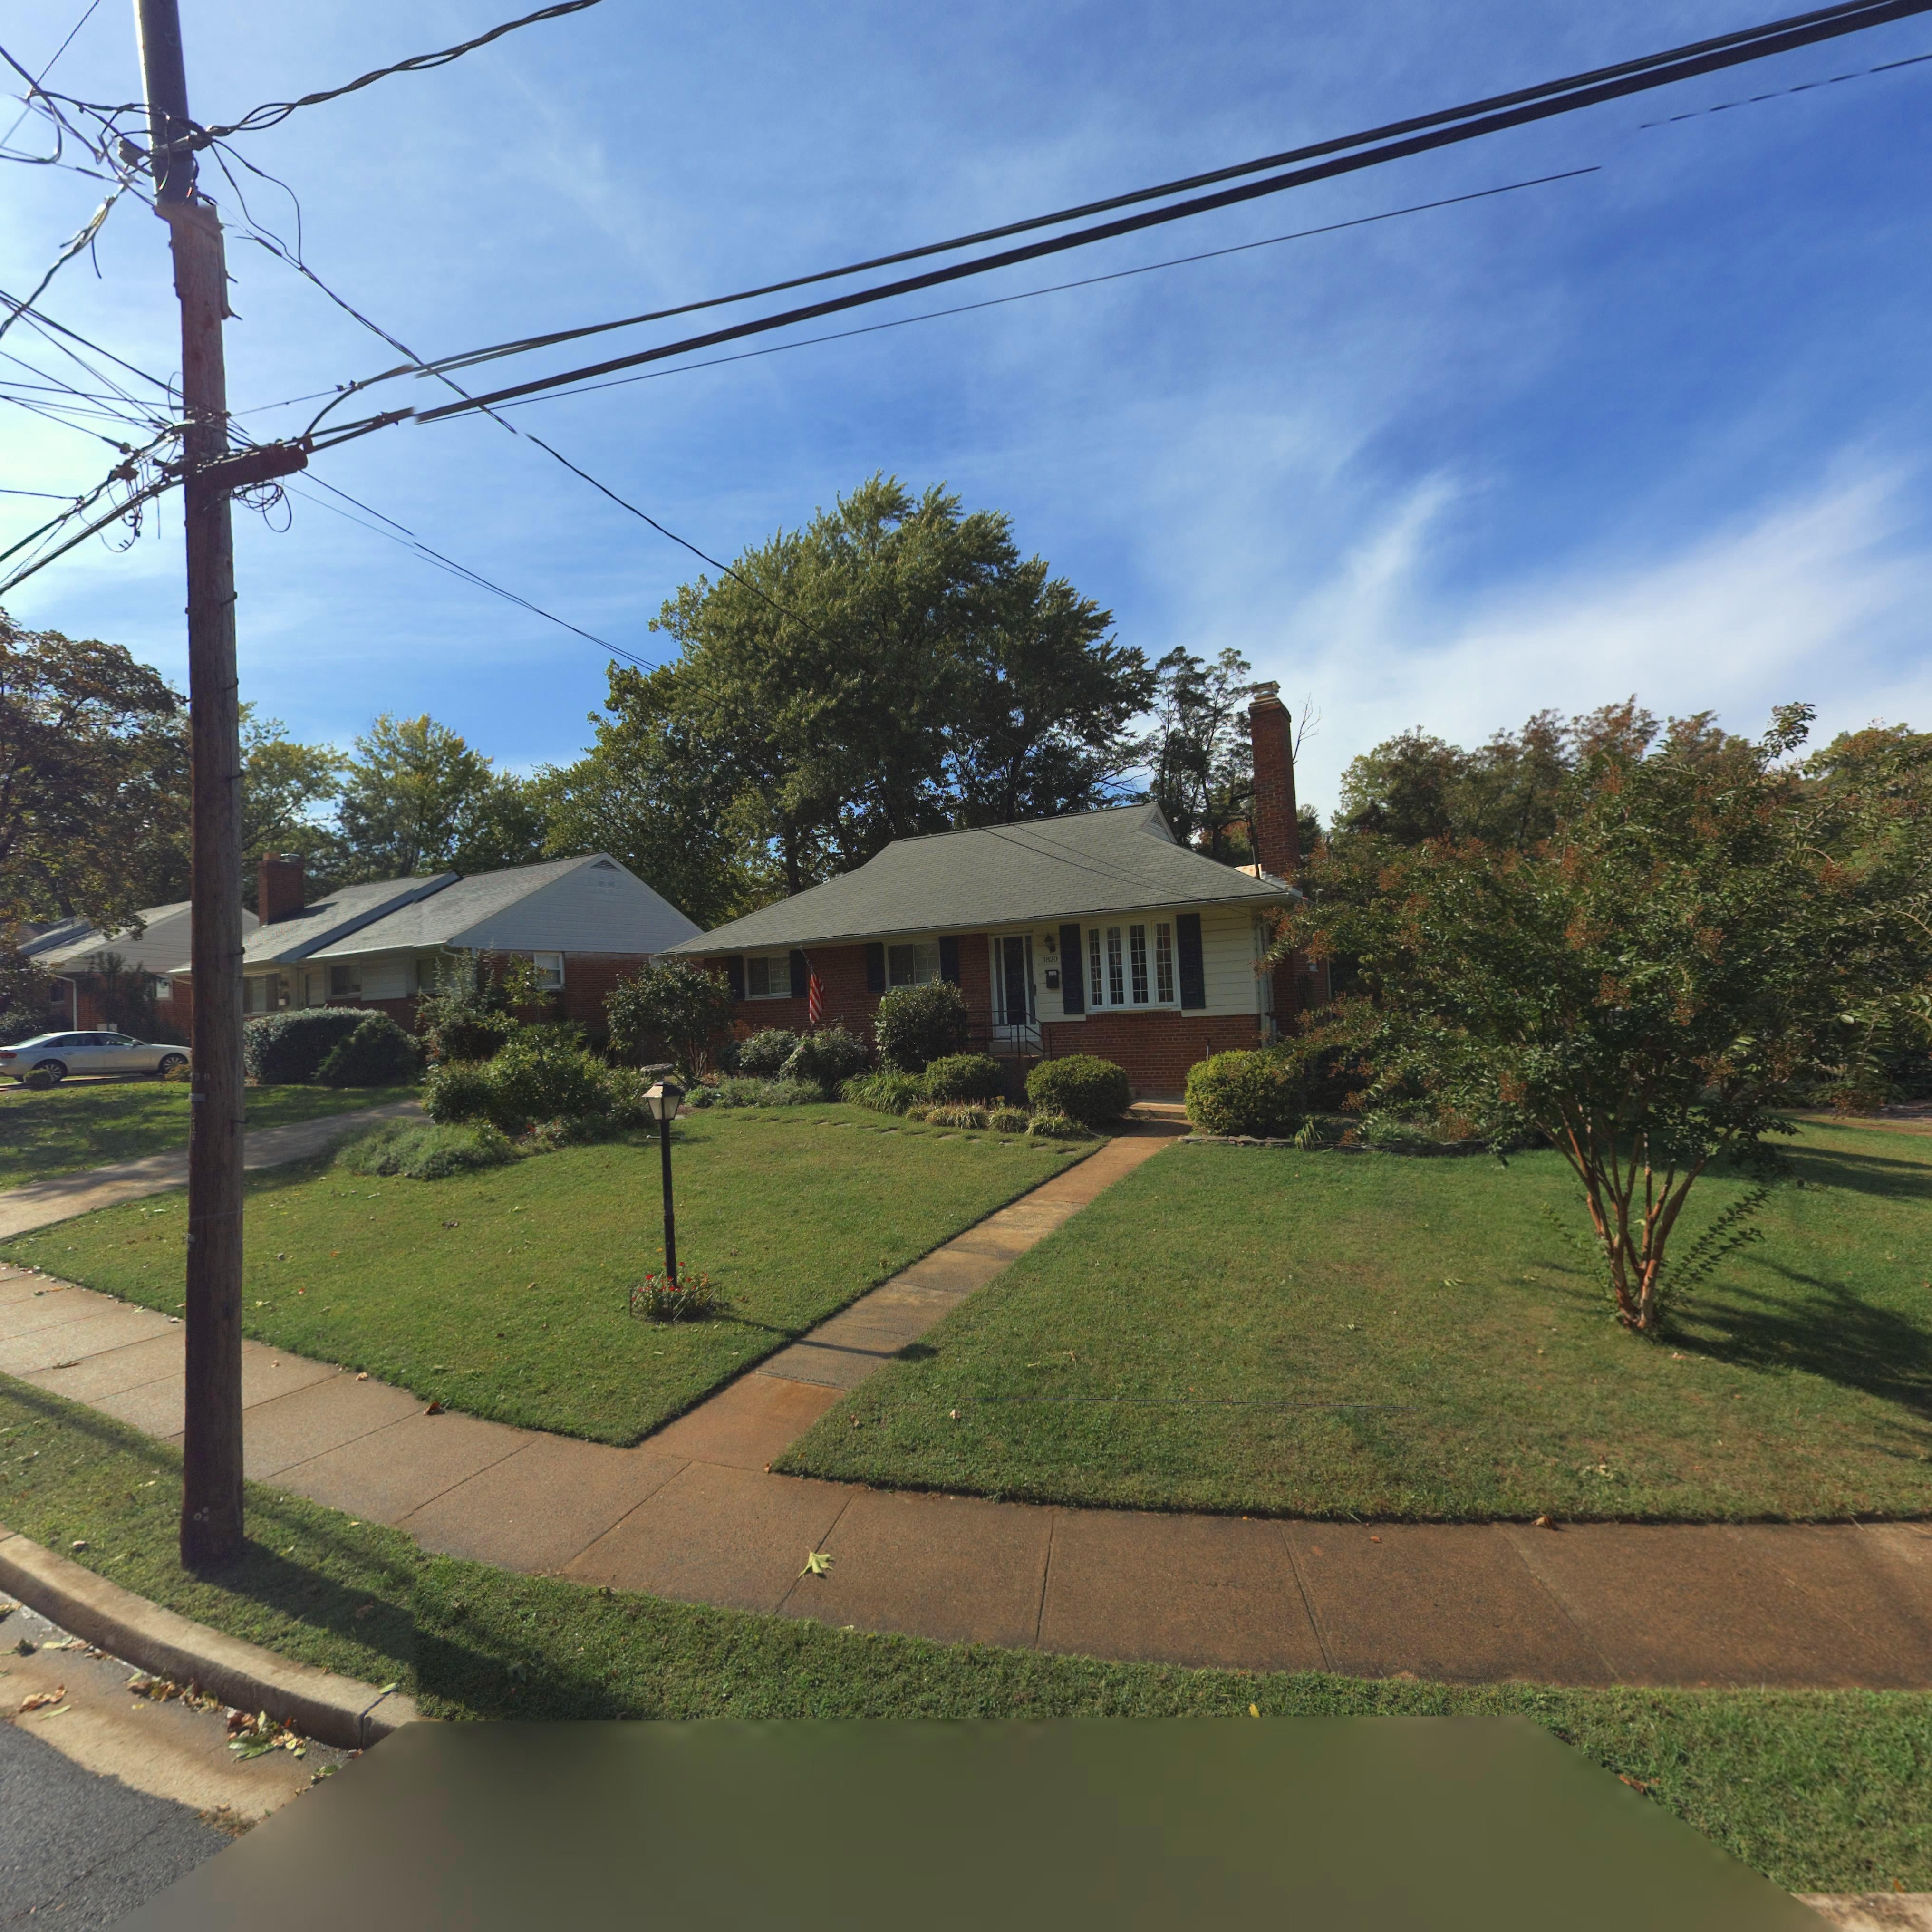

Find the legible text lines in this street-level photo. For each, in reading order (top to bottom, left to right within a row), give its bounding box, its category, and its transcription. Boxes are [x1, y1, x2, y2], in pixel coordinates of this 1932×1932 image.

[1043, 955, 1058, 963] StreetNumber: 1820